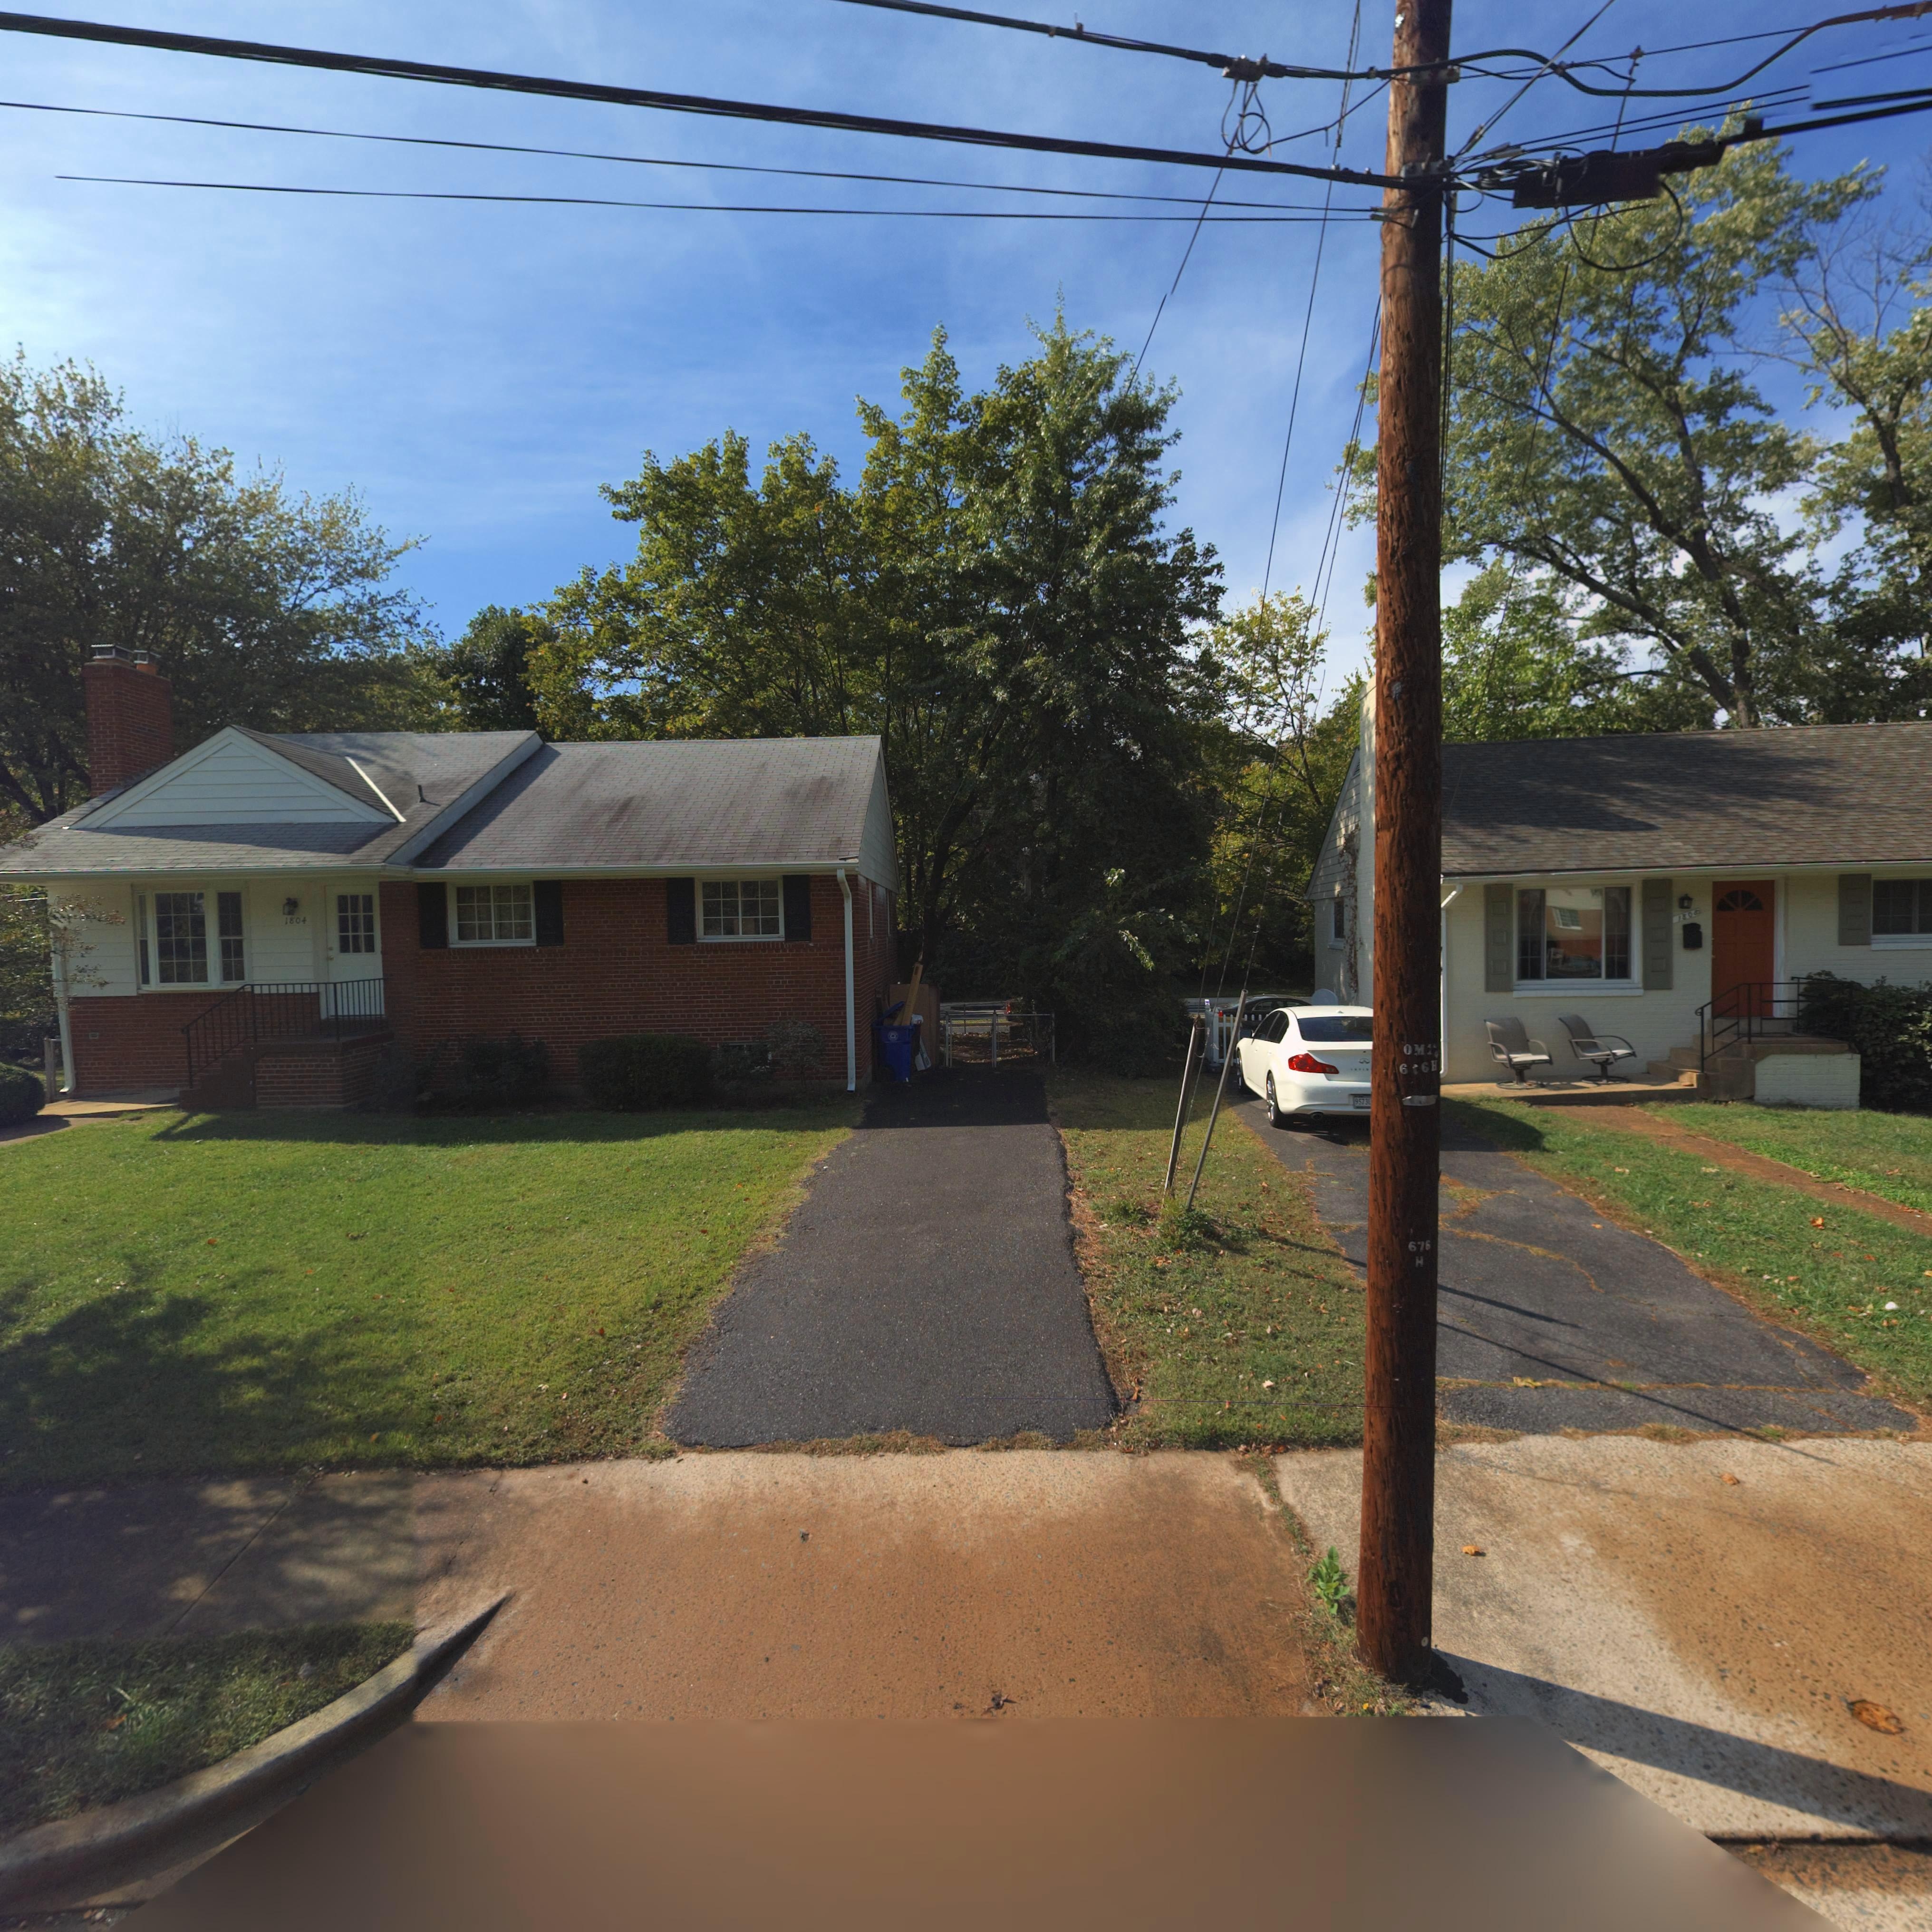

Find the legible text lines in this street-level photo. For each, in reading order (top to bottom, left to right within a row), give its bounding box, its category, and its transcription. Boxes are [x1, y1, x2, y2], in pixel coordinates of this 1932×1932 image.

[284, 915, 309, 927] StreetNumber: 1804
[1676, 908, 1700, 924] StreetNumber: 180*
[1402, 1043, 1426, 1057] None: OM
[1398, 1058, 1439, 1077] None: 6*6H
[1353, 1097, 1369, 1106] None: 9573
[1405, 1238, 1433, 1254] None: 676
[1414, 1255, 1425, 1268] None: H